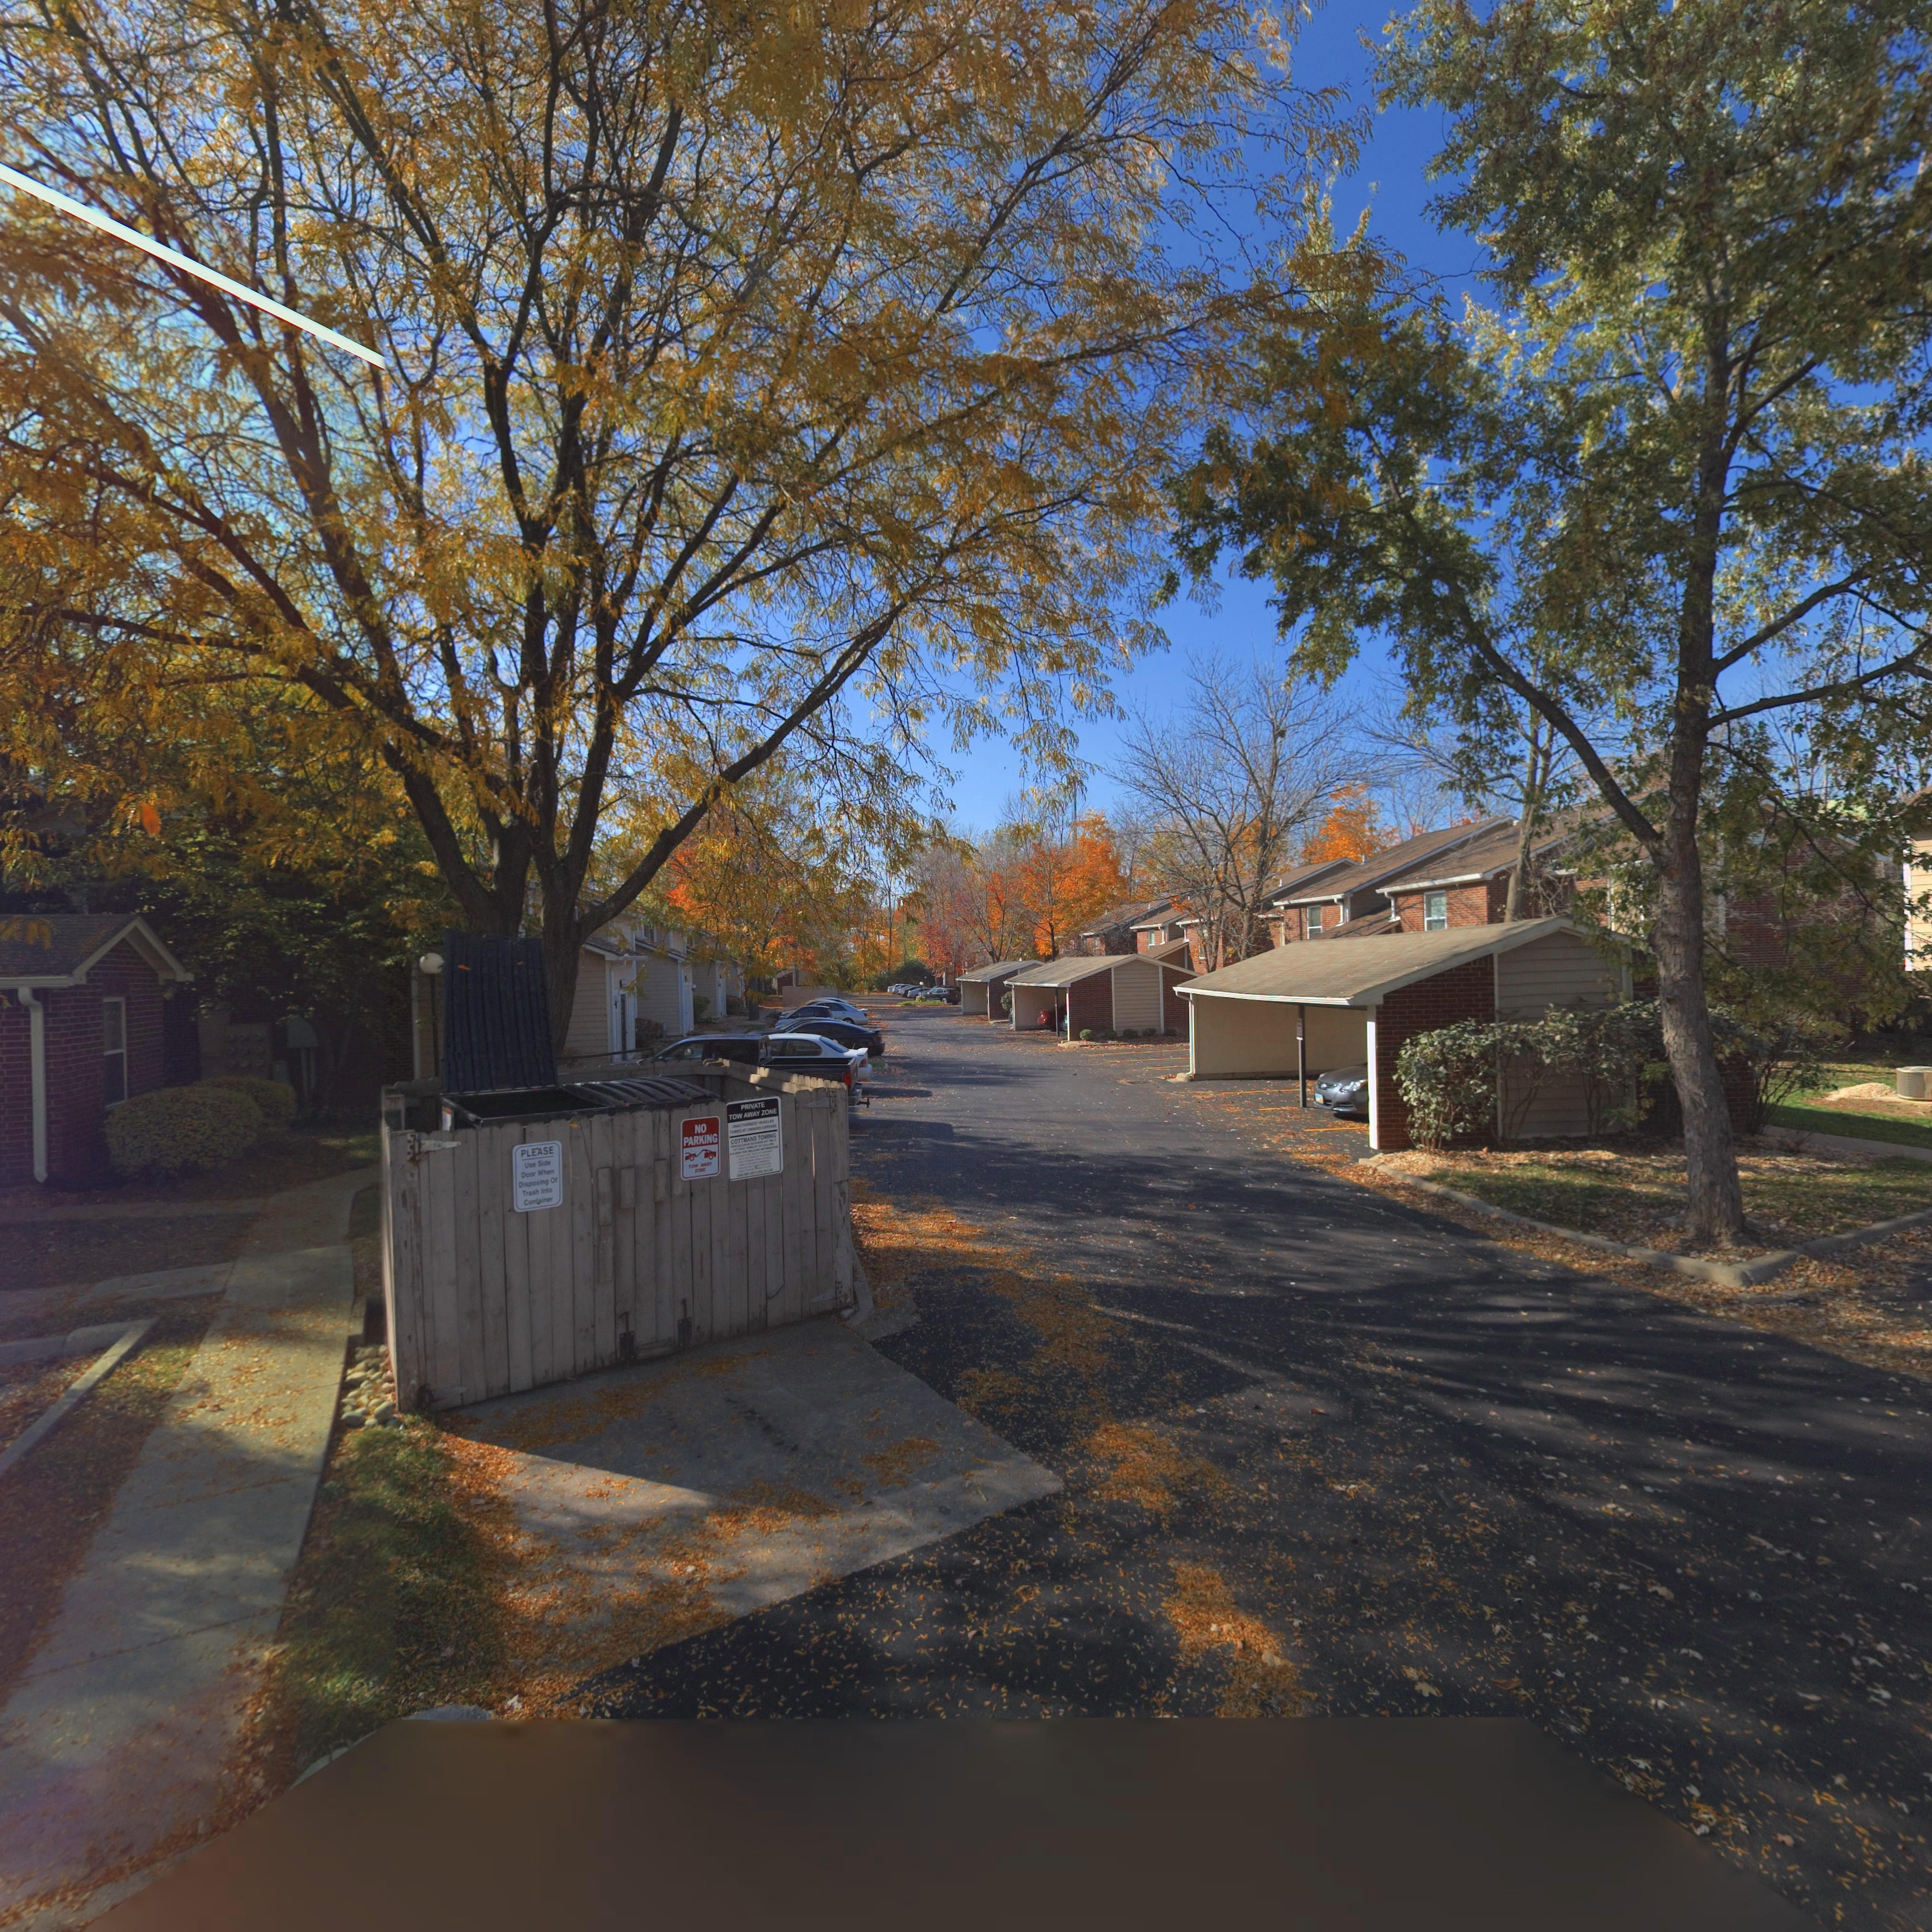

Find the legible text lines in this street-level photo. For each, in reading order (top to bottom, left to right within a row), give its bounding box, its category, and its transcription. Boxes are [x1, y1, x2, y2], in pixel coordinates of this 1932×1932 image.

[740, 1101, 766, 1111] None: PRIVATE
[728, 1107, 778, 1121] None: TOW AWAY ZONE
[694, 1122, 708, 1135] None: NO
[683, 1132, 719, 1148] None: PARKING
[729, 1132, 777, 1146] None: COTTMANS TOWING
[520, 1145, 555, 1159] None: PLEASE
[523, 1158, 552, 1169] None: Use Side
[687, 1160, 714, 1170] None: TO* ****
[520, 1169, 556, 1179] None: Door When
[518, 1175, 559, 1190] None: Disposing Of
[521, 1187, 554, 1198] None: Tra**Into
[522, 1195, 554, 1207] None: Cont*in**